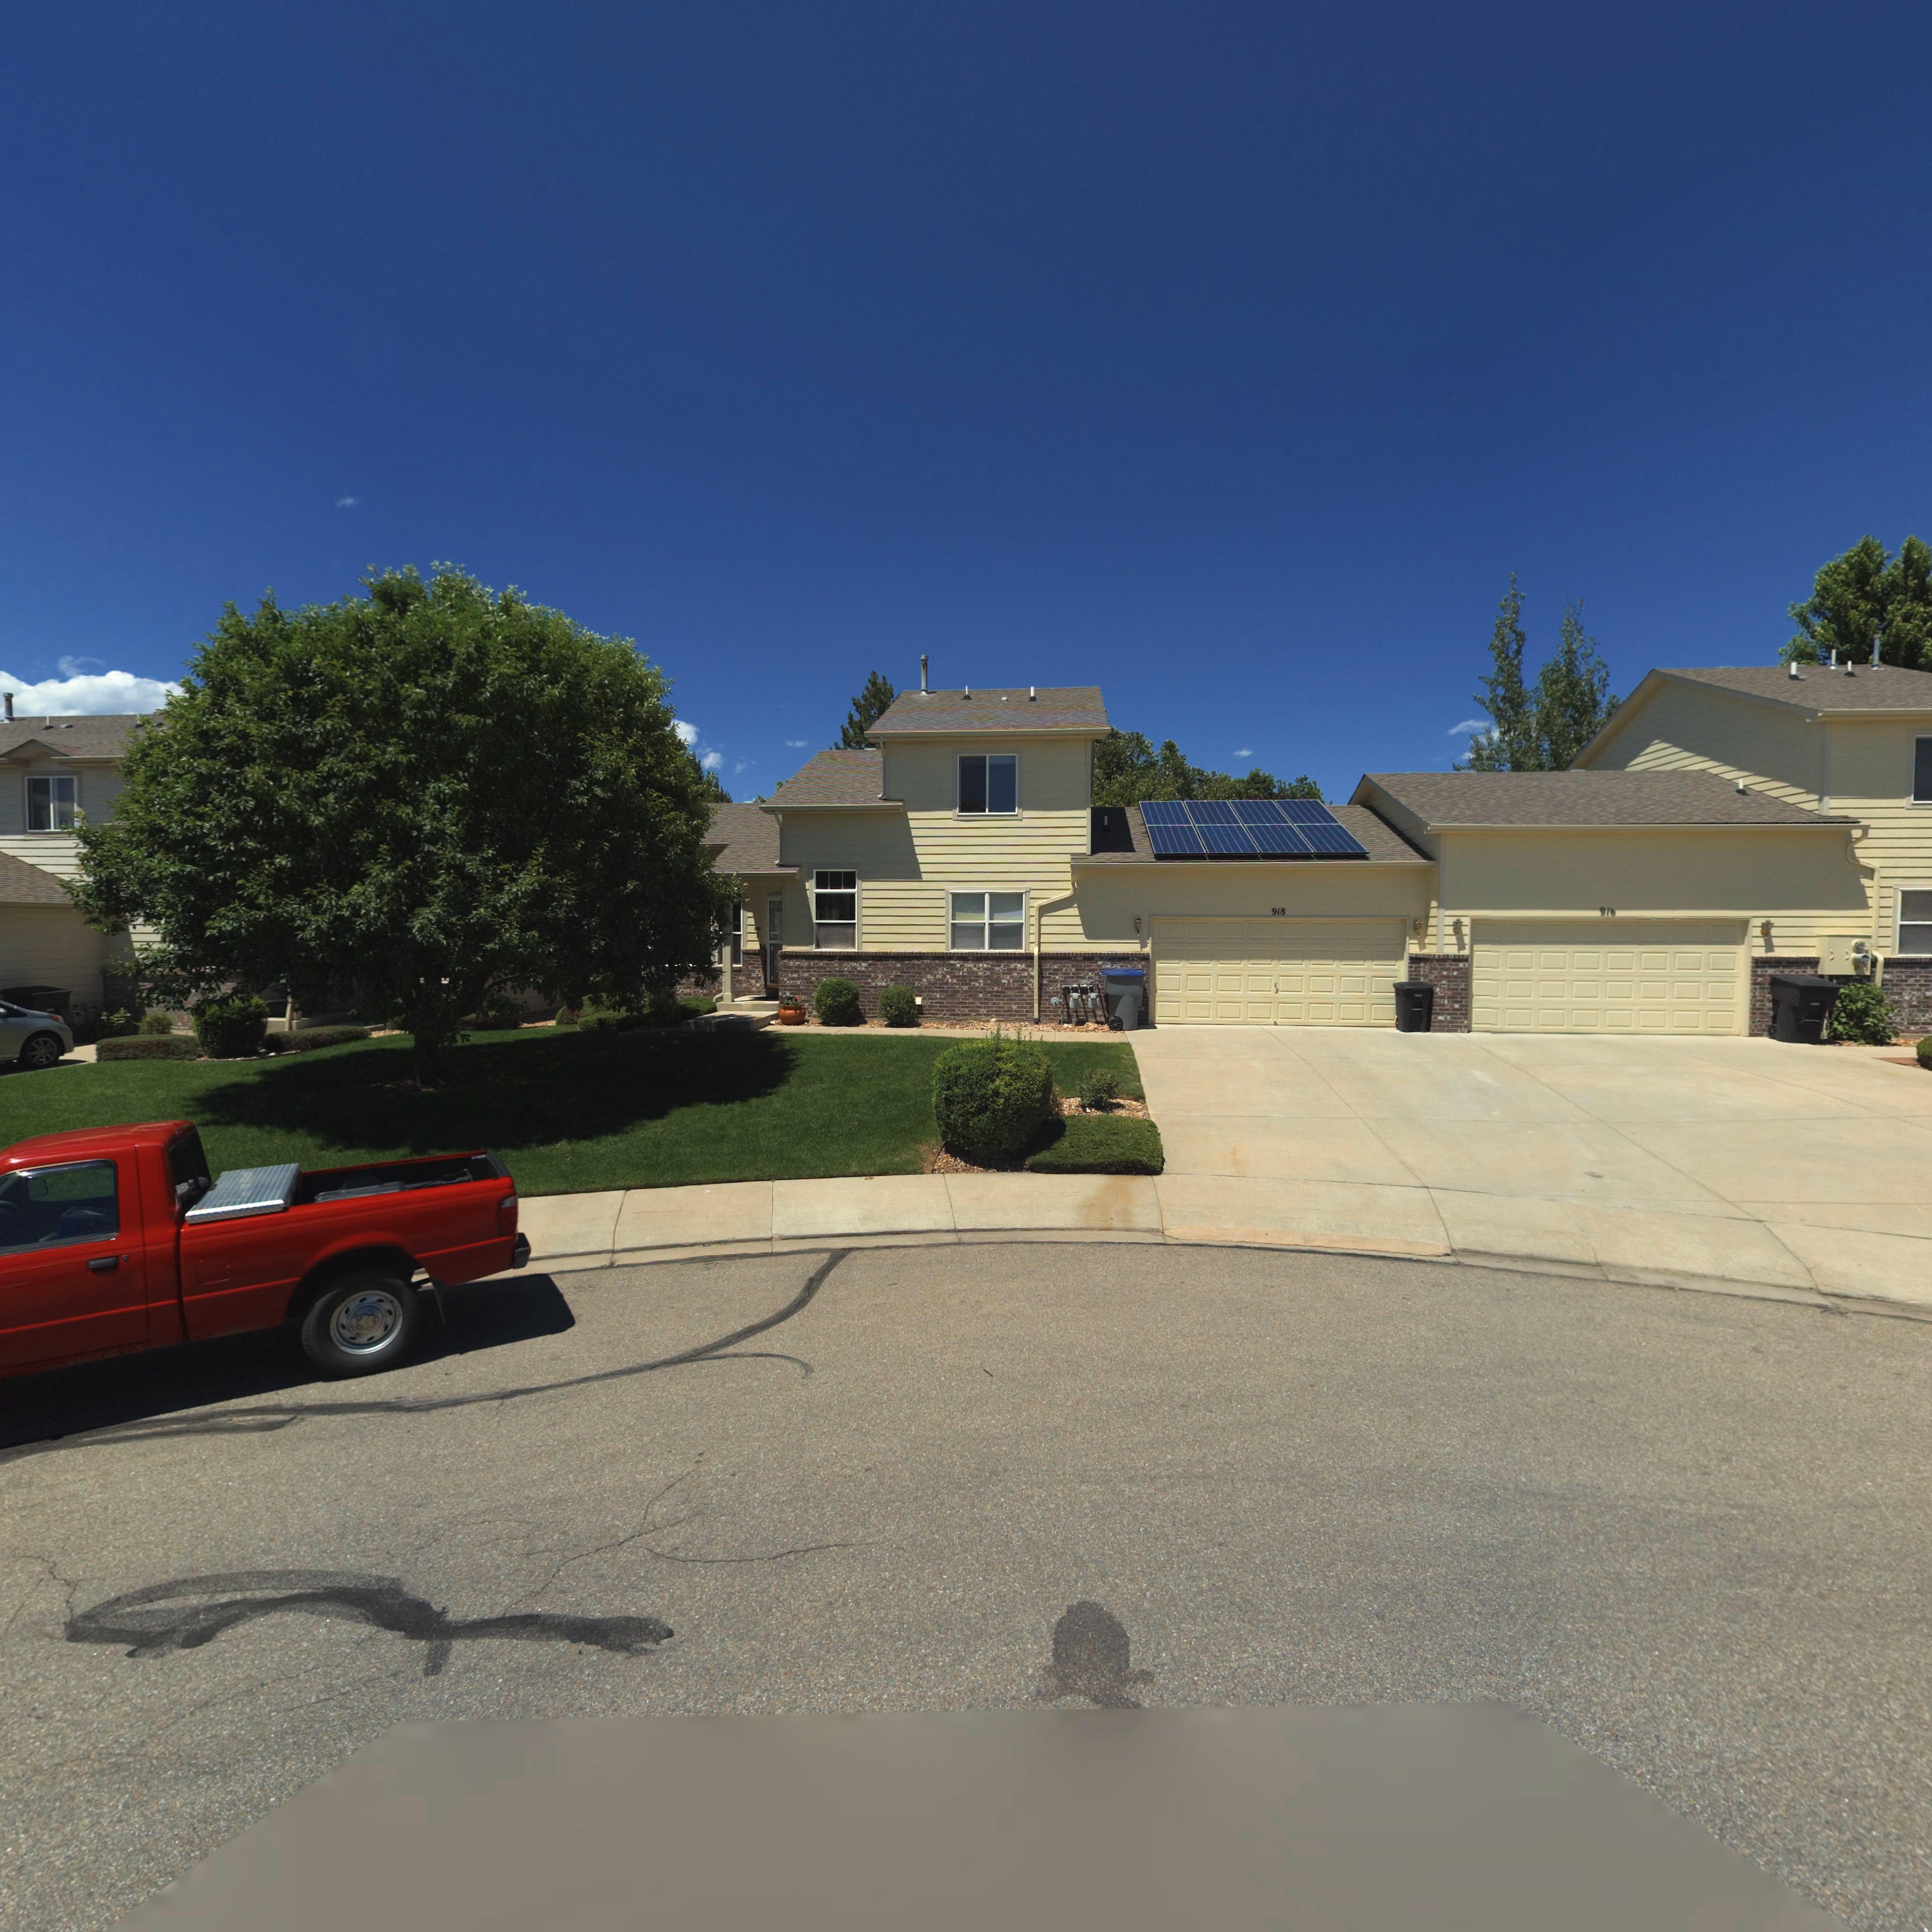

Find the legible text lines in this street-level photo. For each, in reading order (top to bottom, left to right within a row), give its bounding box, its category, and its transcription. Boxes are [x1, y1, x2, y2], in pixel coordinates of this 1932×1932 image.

[1271, 907, 1286, 916] StreetNumber: 918
[1598, 906, 1616, 916] StreetNumber: 916